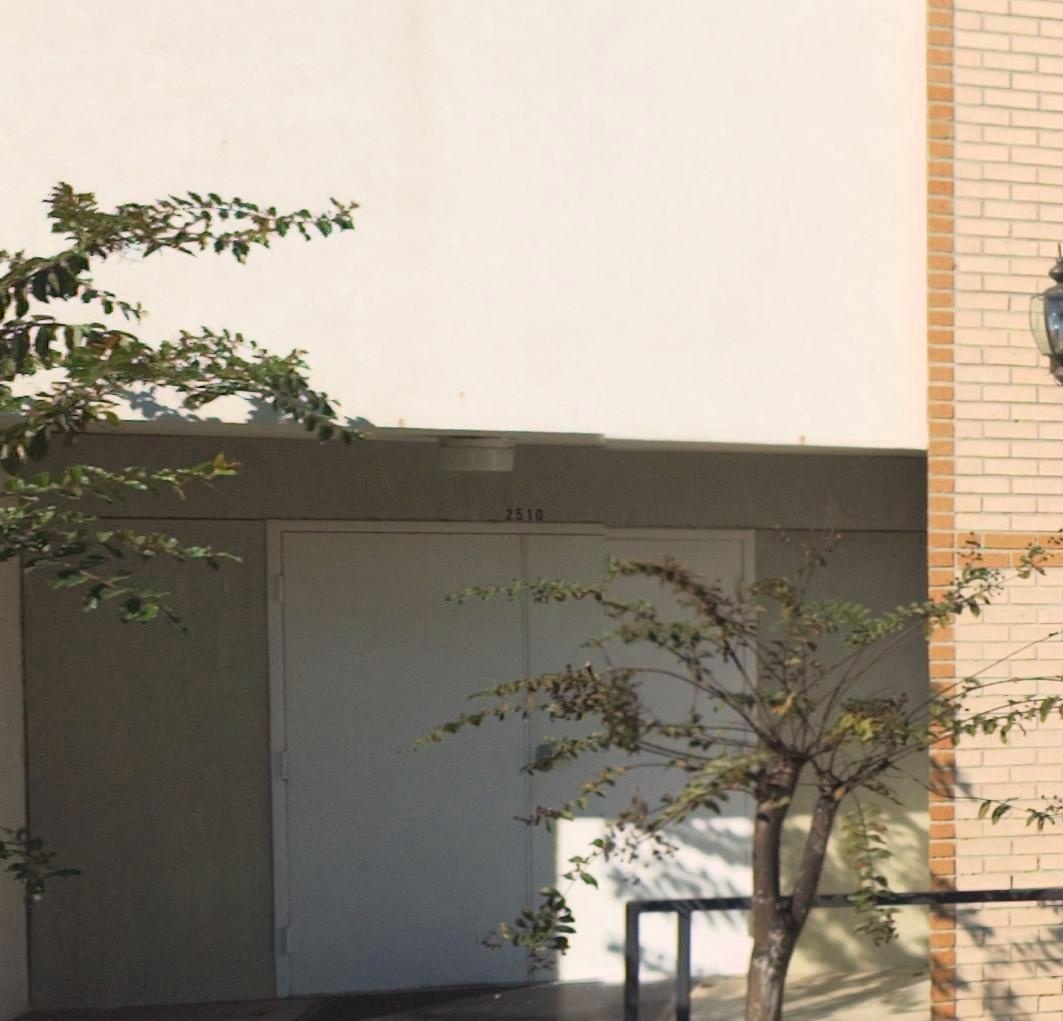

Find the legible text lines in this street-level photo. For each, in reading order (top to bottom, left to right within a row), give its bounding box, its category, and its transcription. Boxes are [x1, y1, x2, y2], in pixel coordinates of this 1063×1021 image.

[502, 505, 548, 523] StreetNumber: 2510